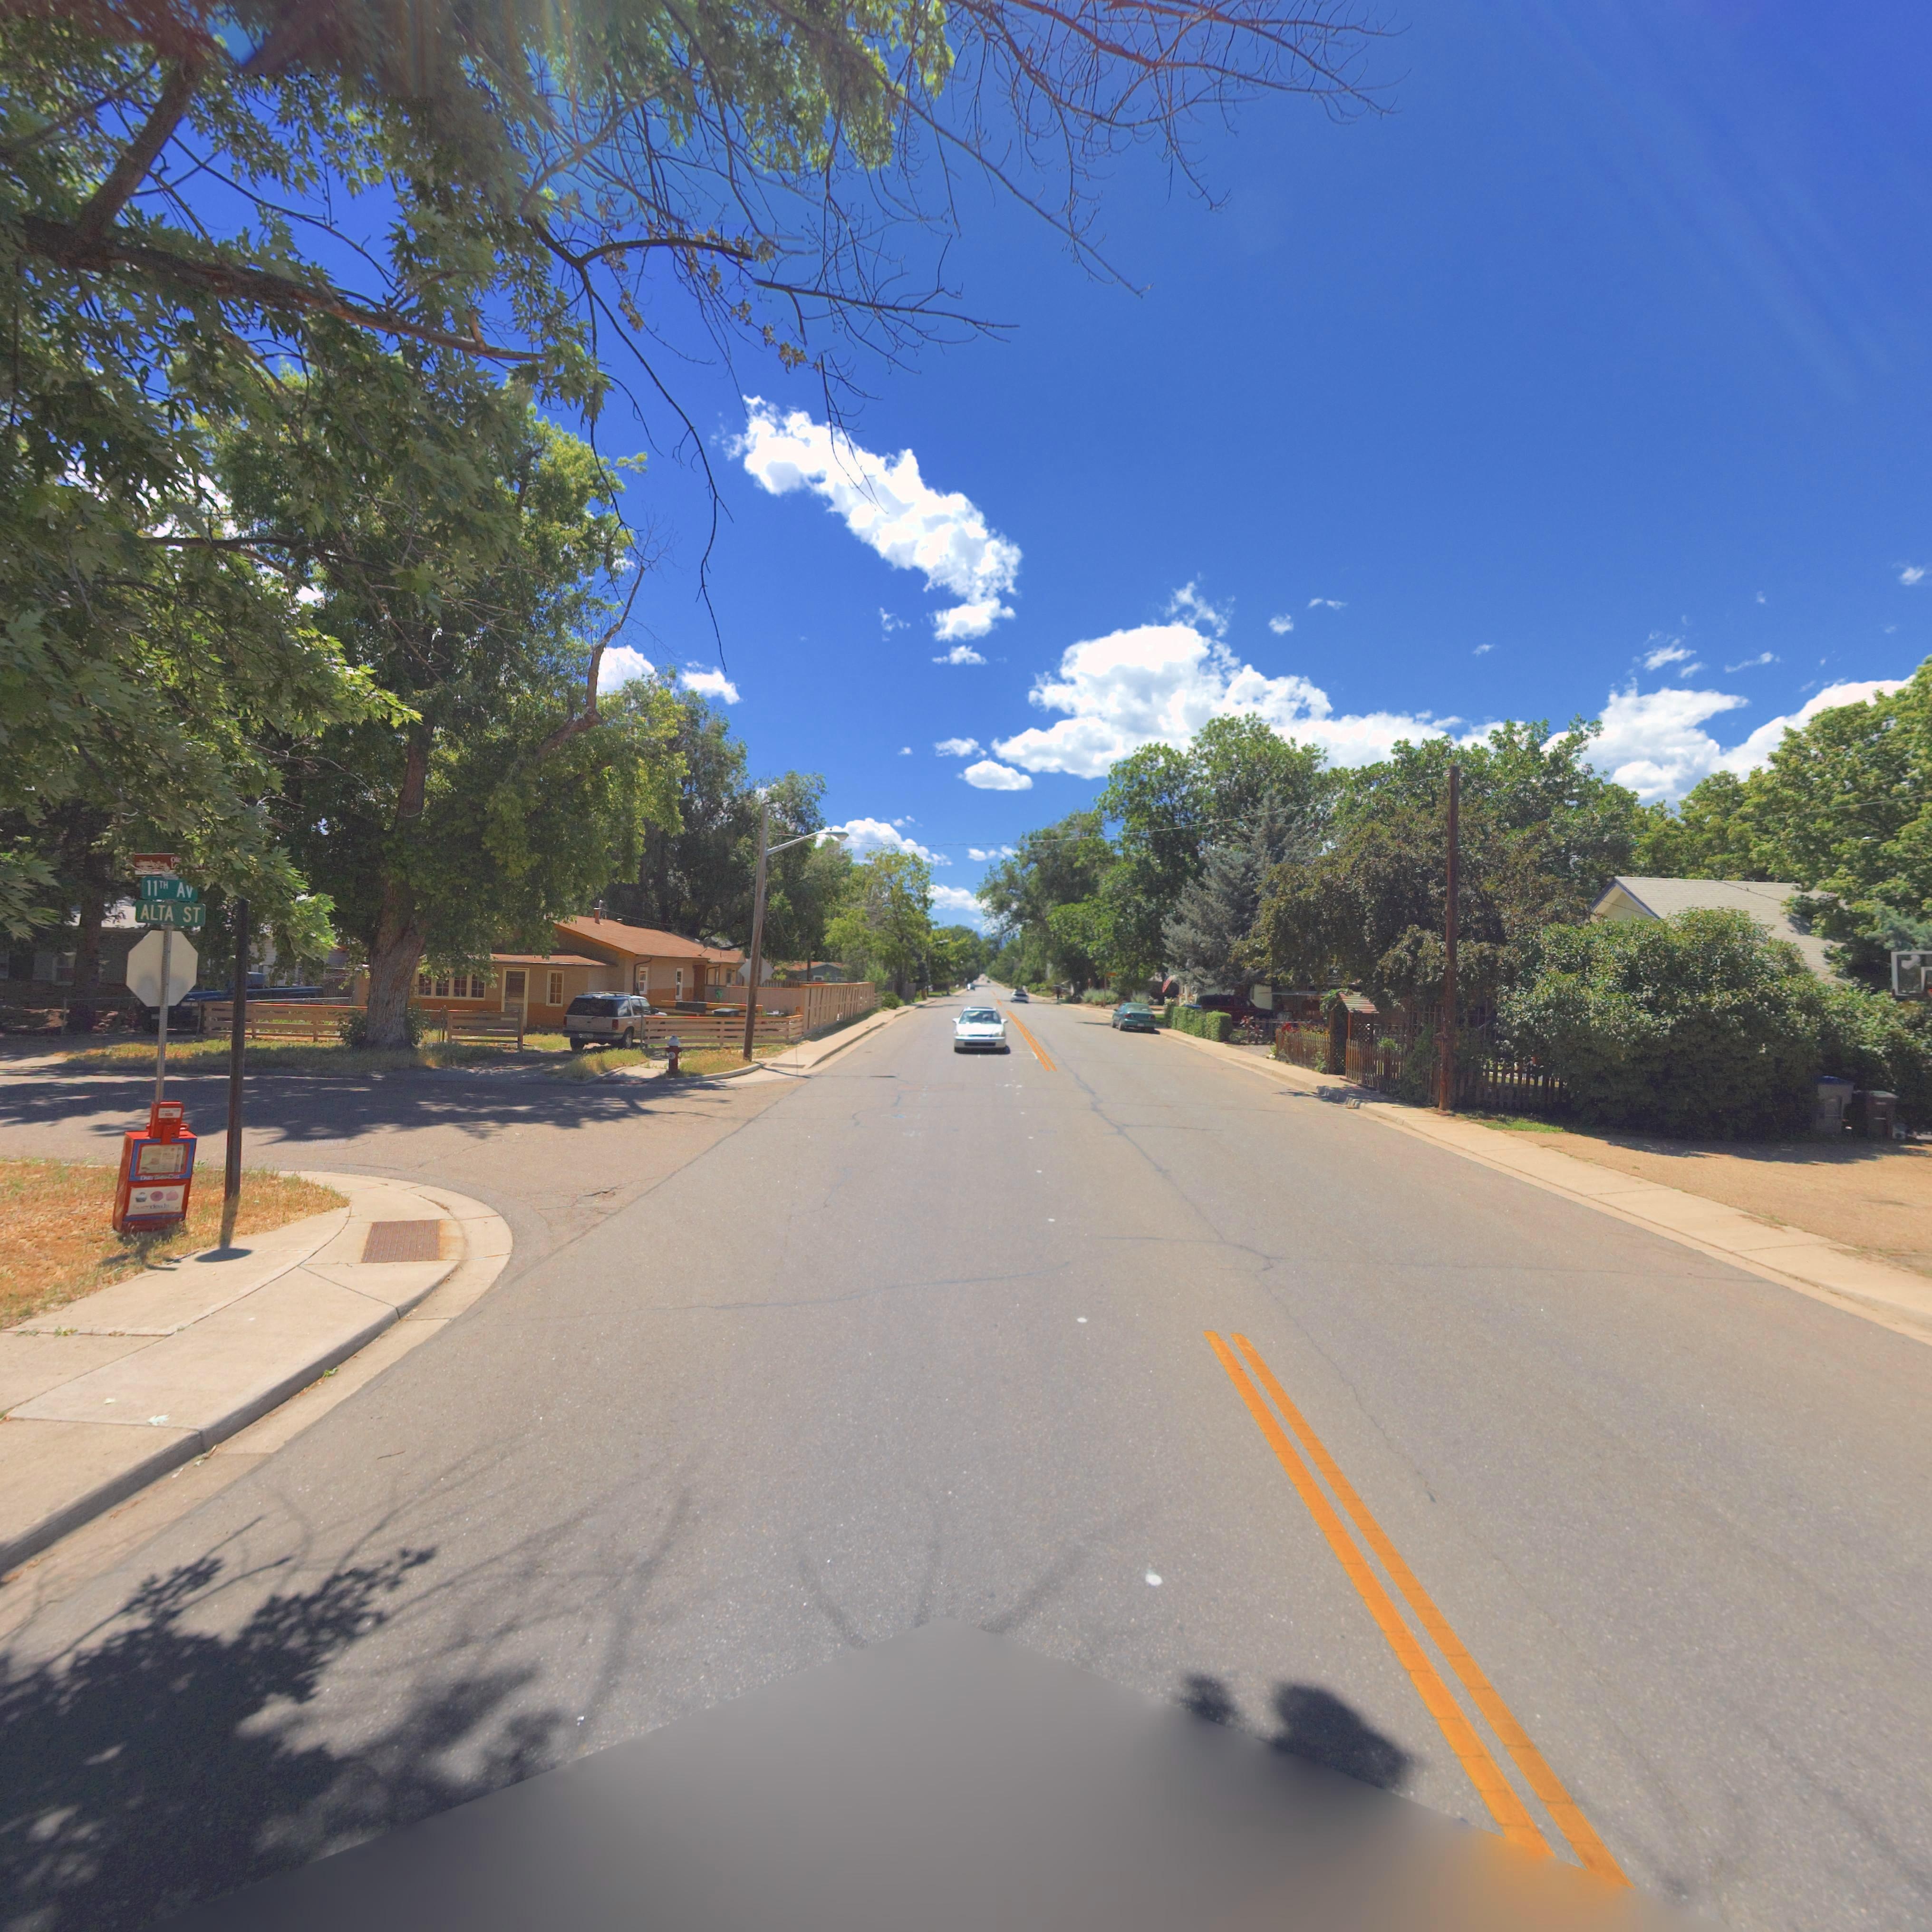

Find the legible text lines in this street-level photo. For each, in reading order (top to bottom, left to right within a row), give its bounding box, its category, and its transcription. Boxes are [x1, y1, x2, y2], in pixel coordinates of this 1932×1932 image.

[145, 879, 193, 898] StreetName: 11TH AV
[139, 904, 202, 923] StreetName: ALTA ST